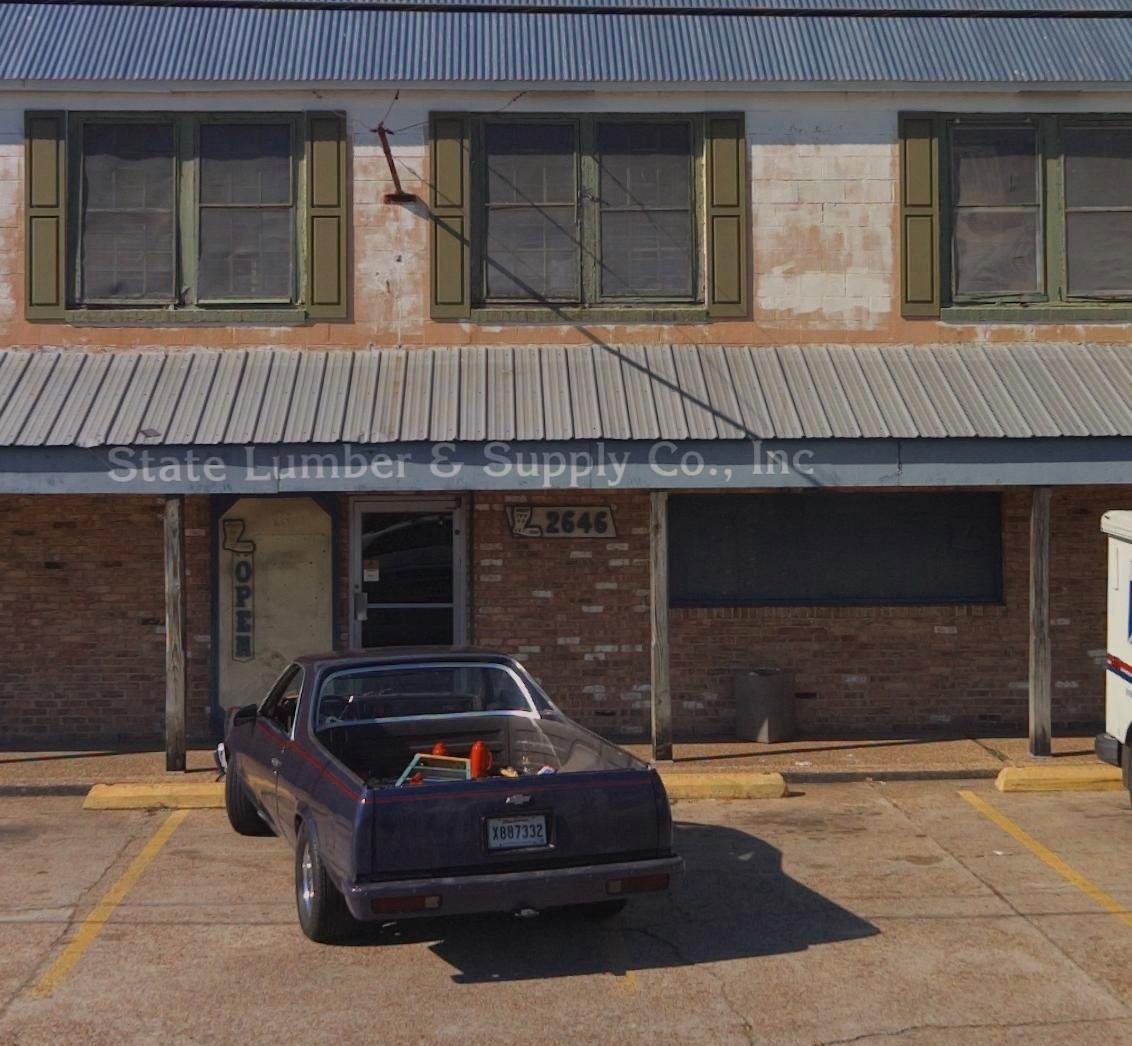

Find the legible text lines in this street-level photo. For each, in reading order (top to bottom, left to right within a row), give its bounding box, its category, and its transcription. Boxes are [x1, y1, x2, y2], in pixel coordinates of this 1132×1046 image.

[102, 432, 821, 491] BusinessName: State Lumber & Supply Co., Inc
[543, 508, 611, 536] StreetNumber: 2646
[233, 556, 255, 663] None: OPEN
[490, 821, 546, 843] None: X887332